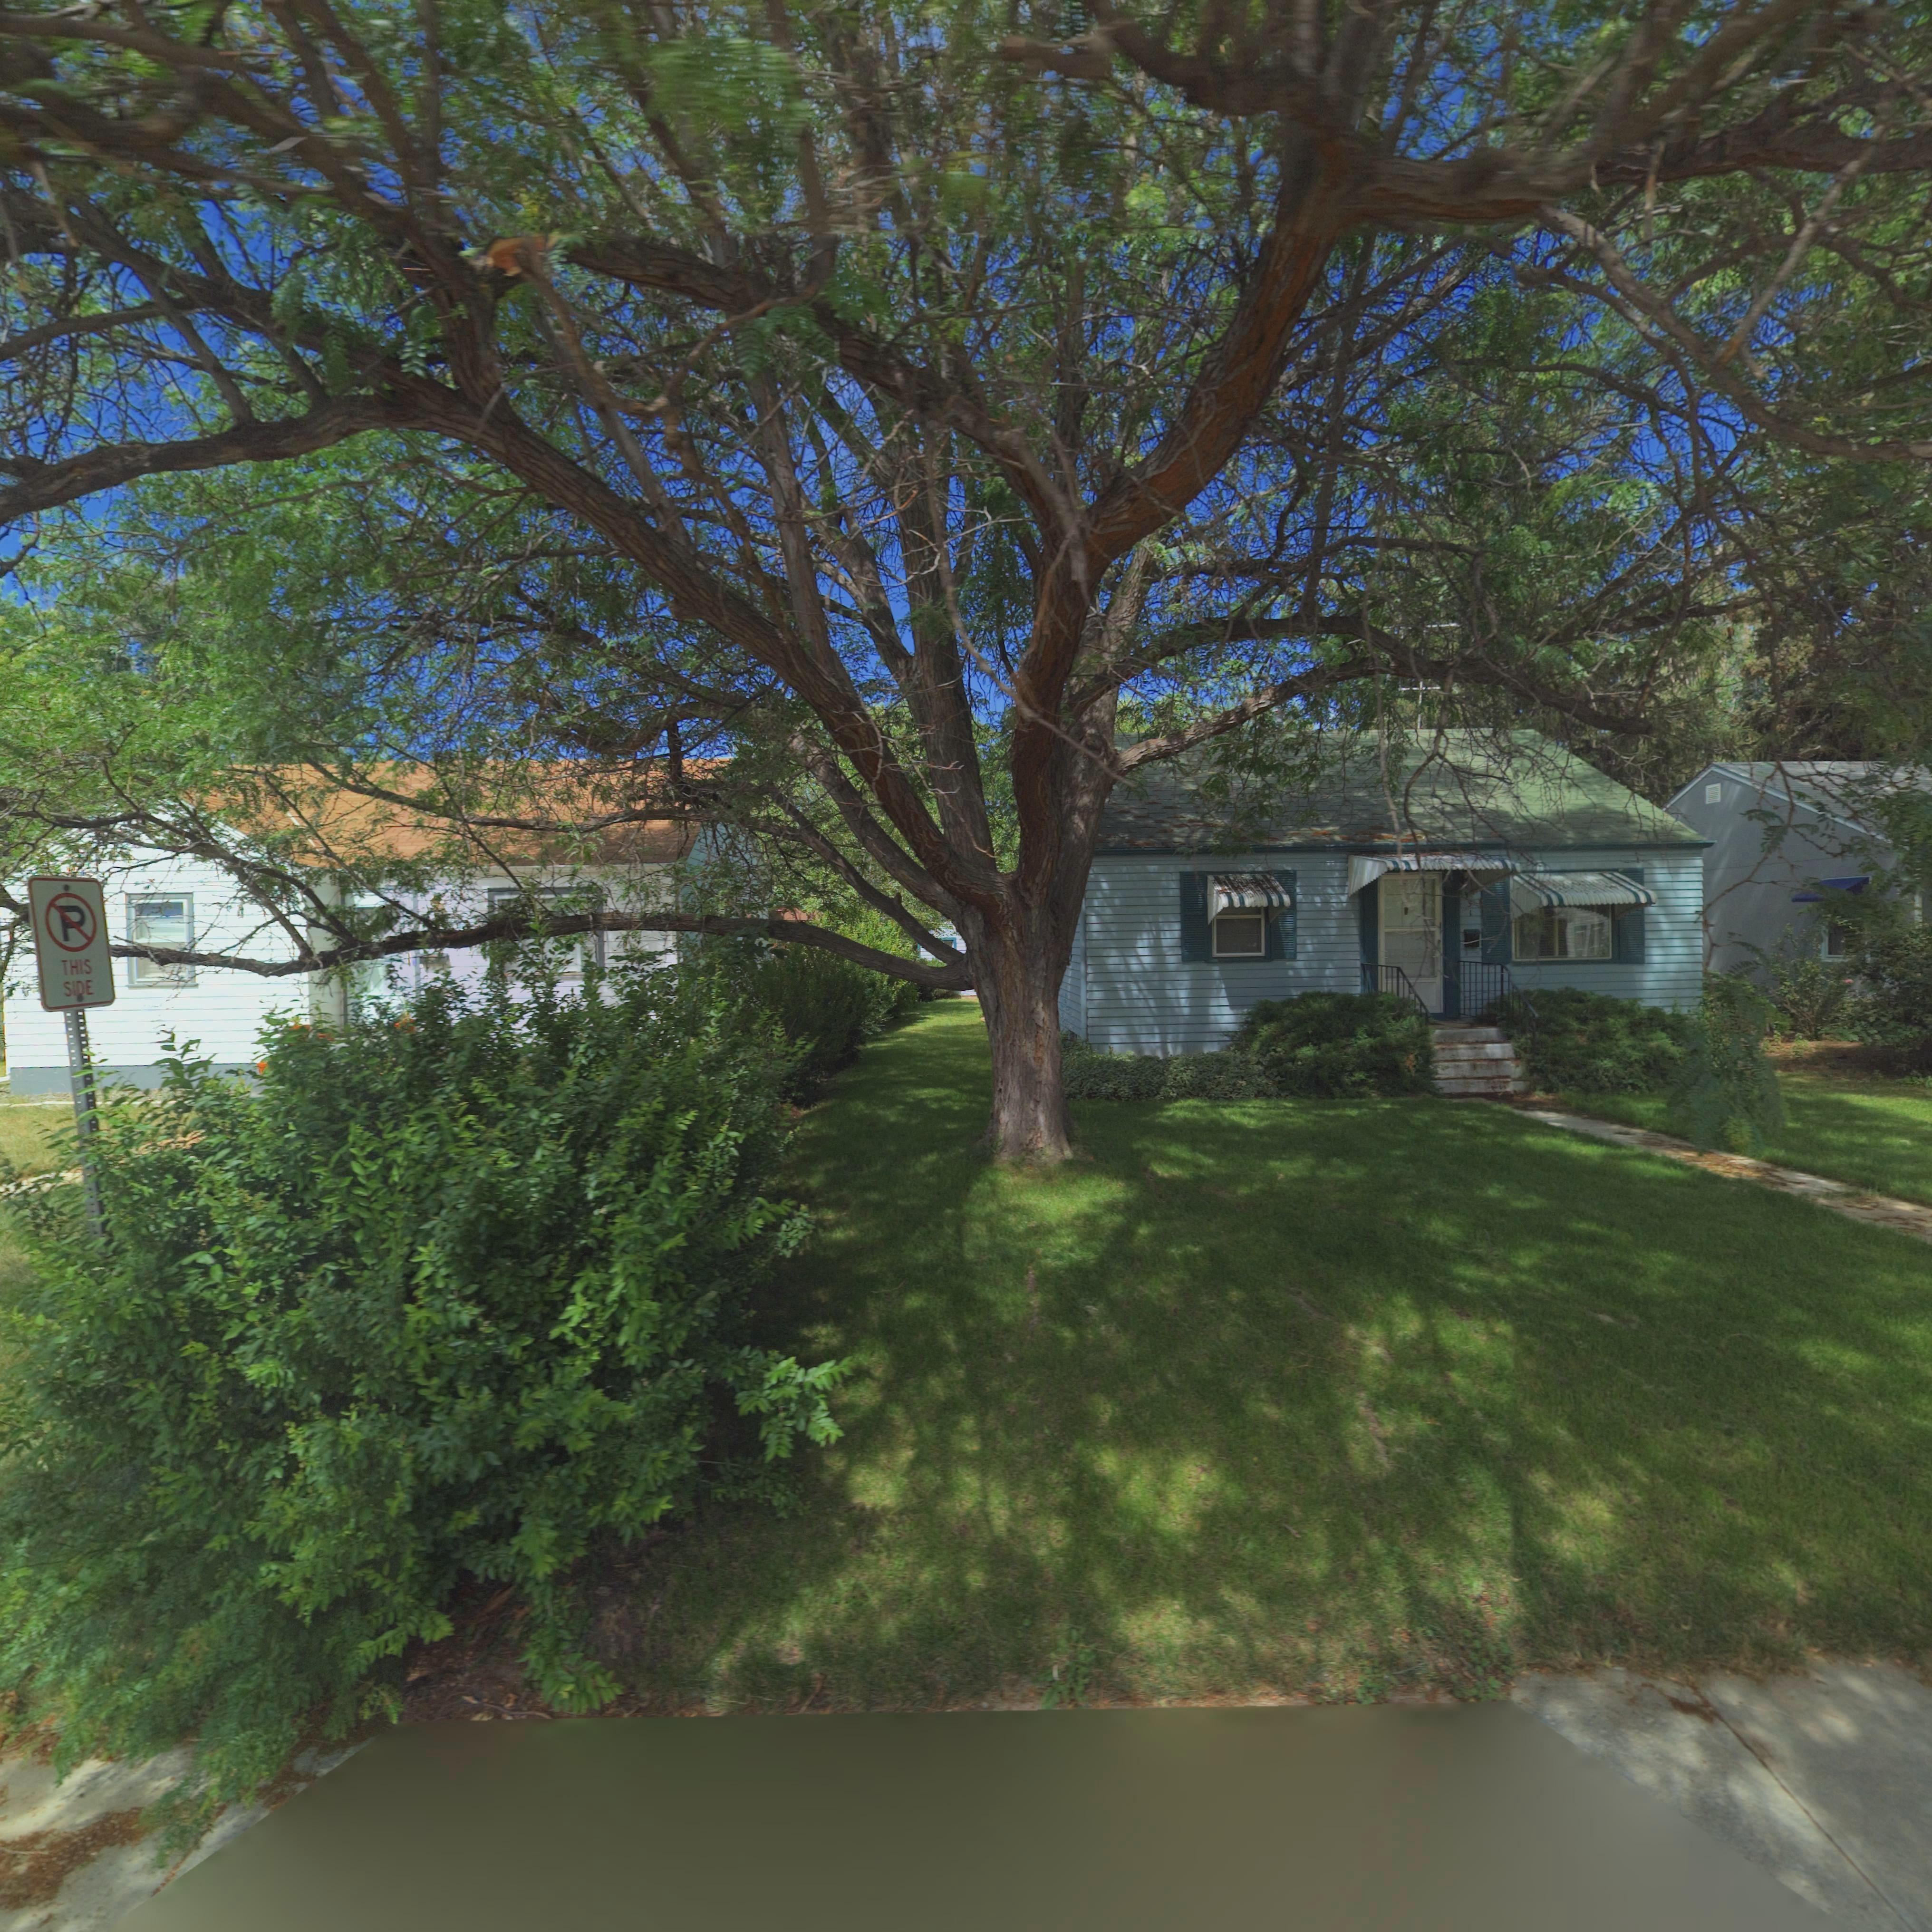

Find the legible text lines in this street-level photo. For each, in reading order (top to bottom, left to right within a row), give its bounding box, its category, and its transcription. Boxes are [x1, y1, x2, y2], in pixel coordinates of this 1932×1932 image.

[1464, 890, 1473, 917] StreetNumber: **1